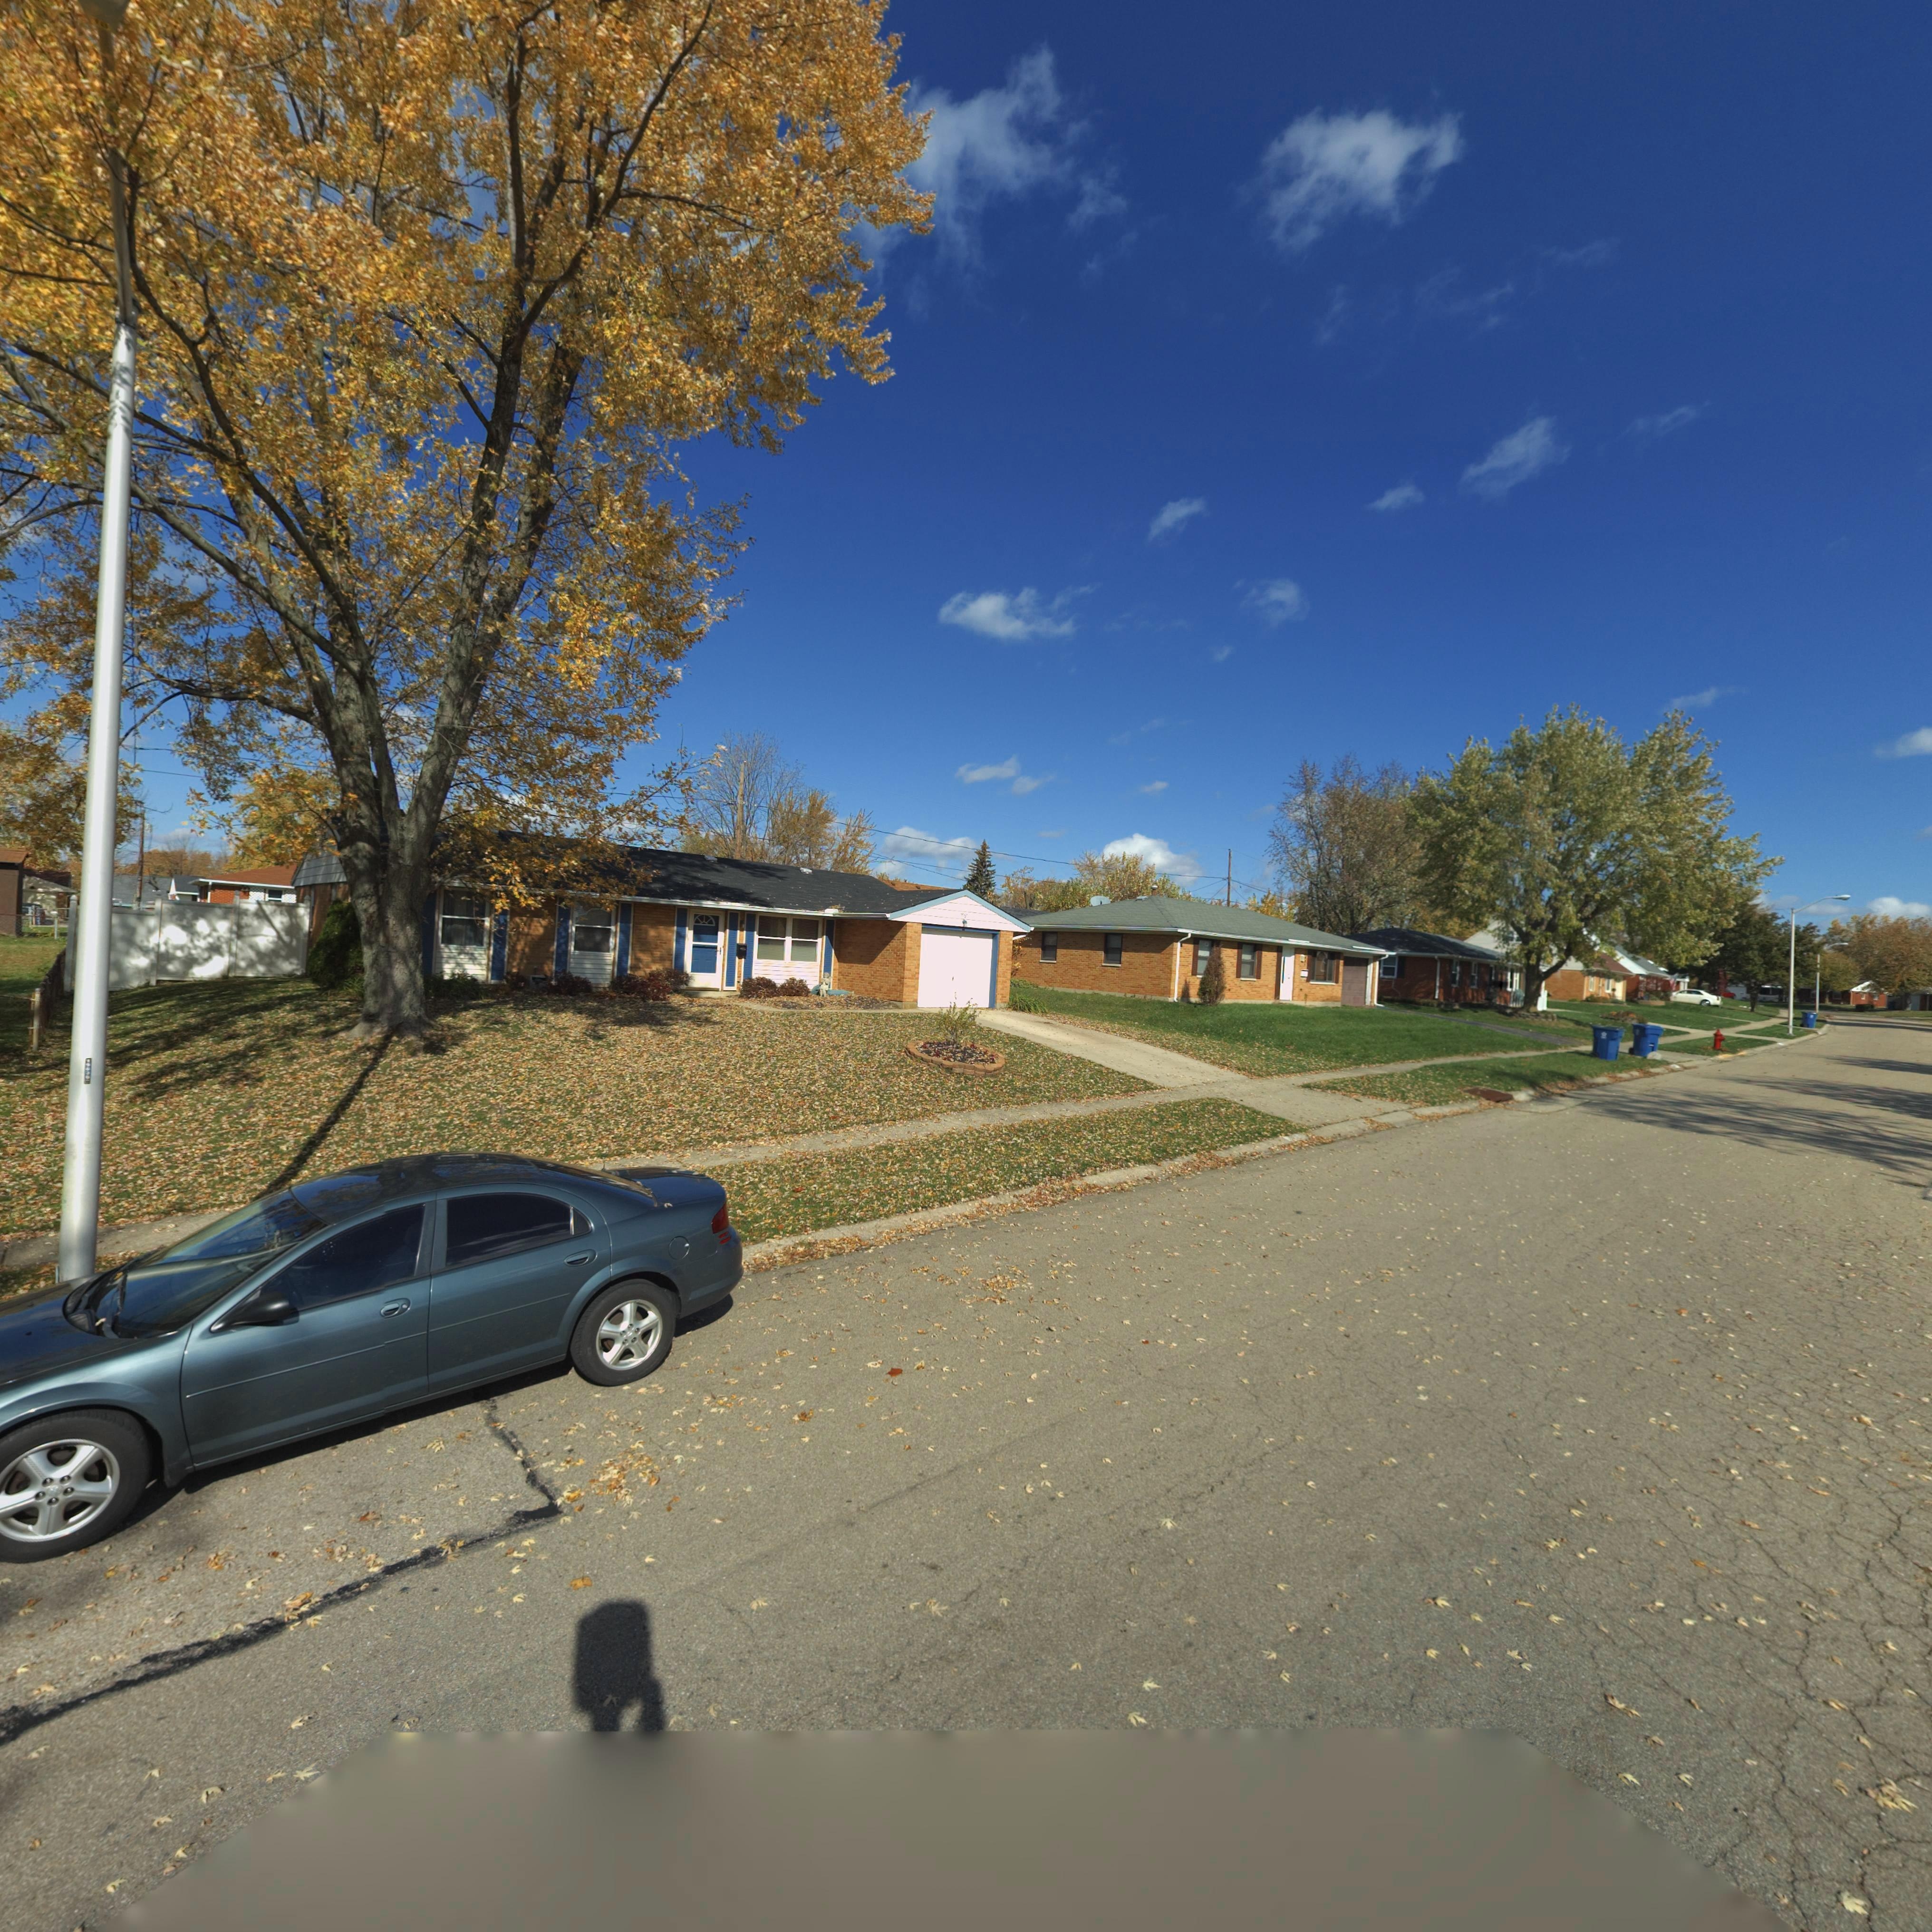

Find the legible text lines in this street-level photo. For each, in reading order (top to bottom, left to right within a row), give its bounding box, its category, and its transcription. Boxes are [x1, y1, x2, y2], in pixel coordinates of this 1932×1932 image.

[960, 913, 968, 918] StreetNumber: 7***